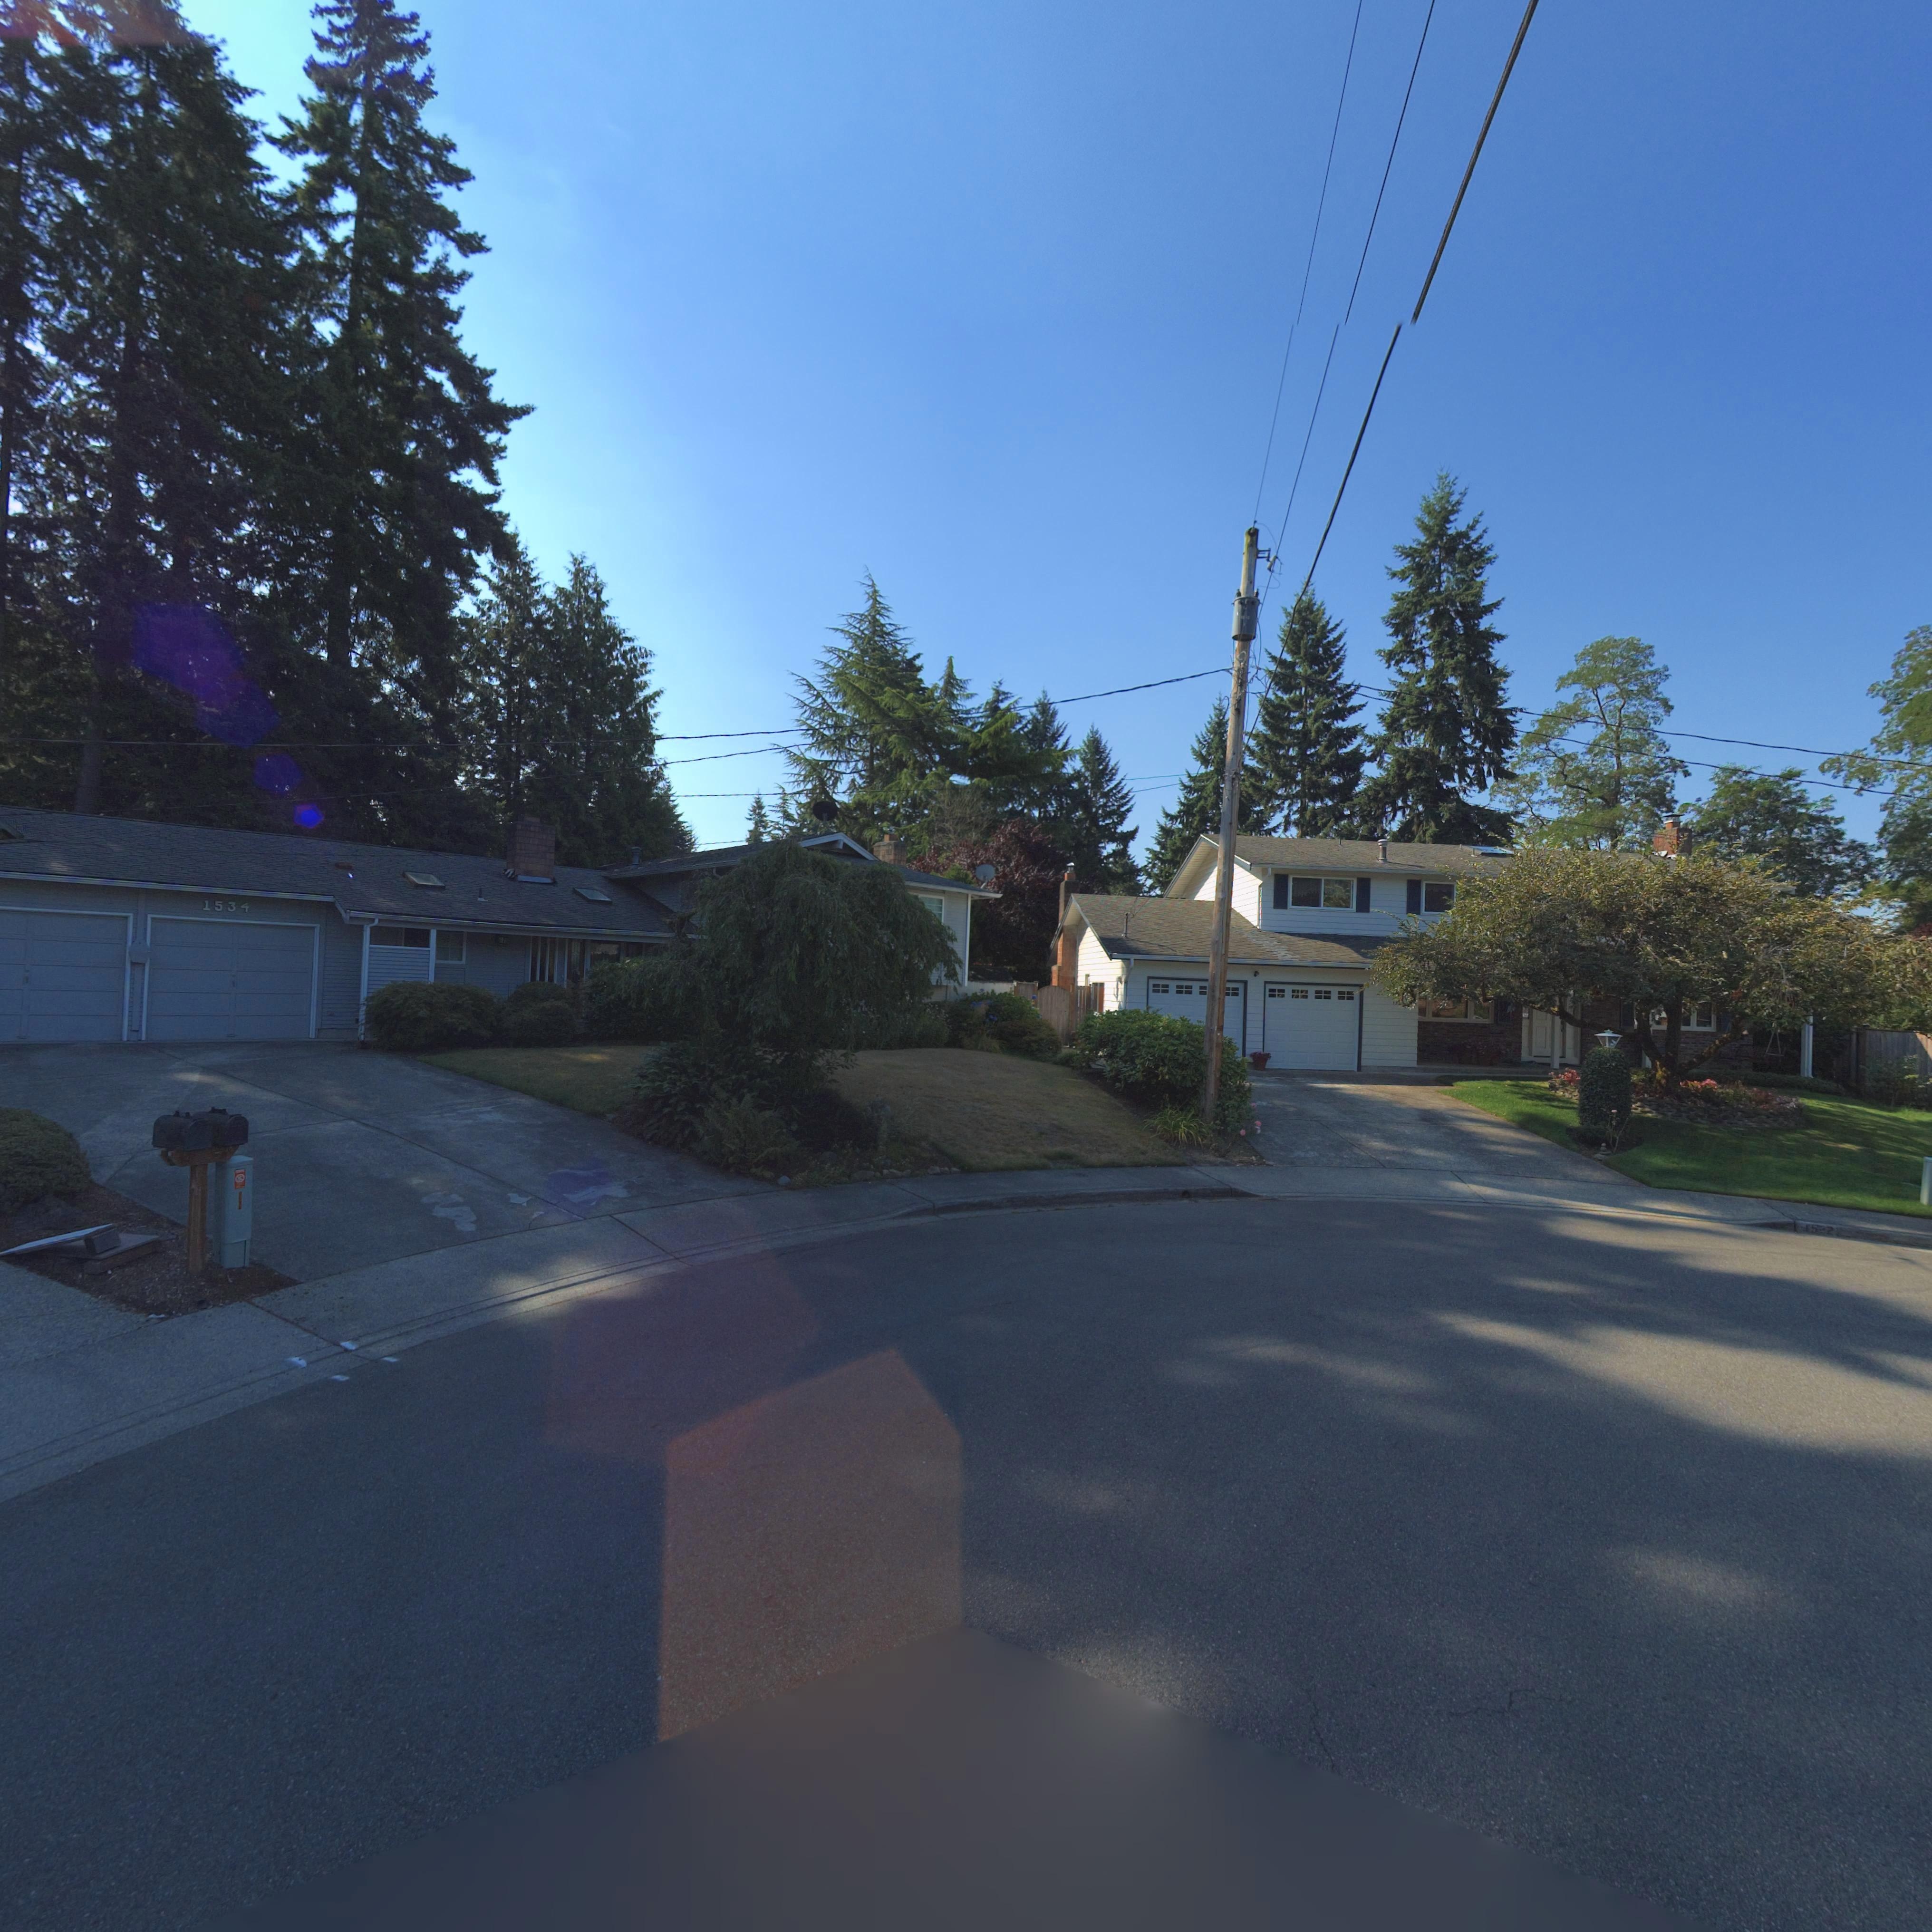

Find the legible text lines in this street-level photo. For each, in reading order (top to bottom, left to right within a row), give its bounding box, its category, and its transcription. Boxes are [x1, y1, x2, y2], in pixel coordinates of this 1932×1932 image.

[203, 901, 250, 912] StreetNumber: 1534